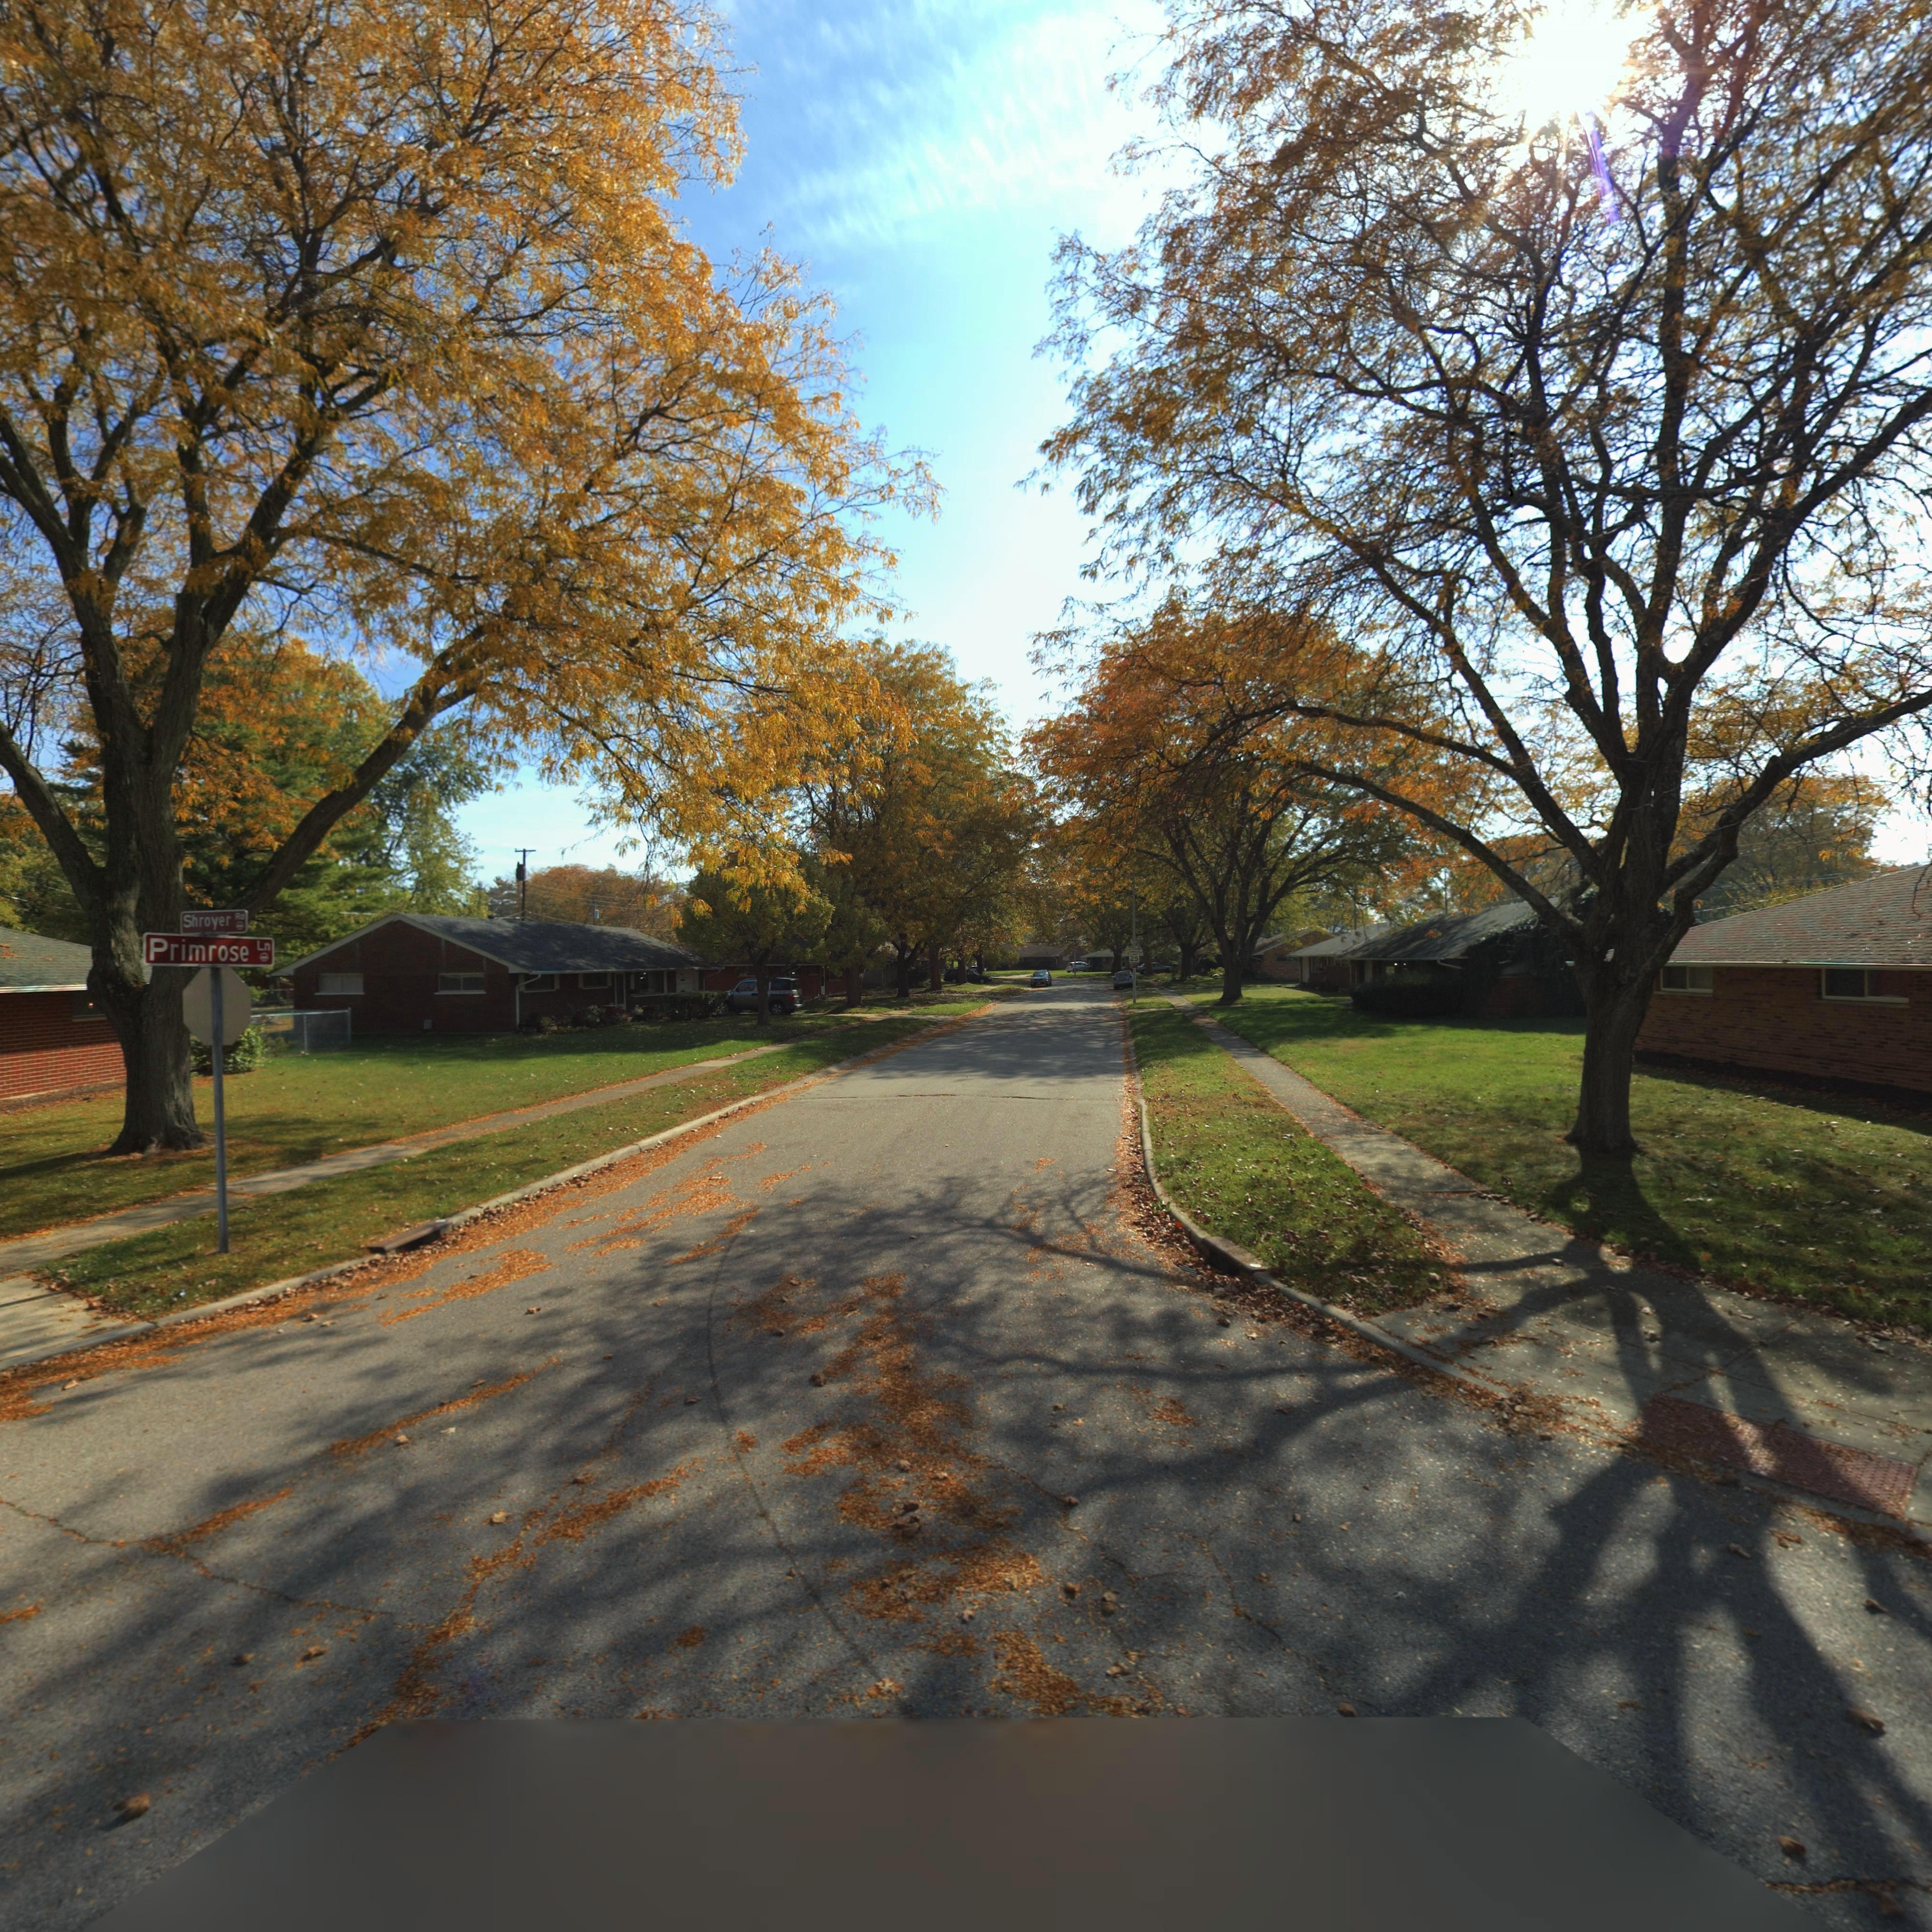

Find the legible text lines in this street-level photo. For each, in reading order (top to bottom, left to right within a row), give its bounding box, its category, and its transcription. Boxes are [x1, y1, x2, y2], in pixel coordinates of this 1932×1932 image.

[182, 911, 247, 932] StreetName: Shroyer **
[147, 936, 272, 963] StreetName: Primrose Ln